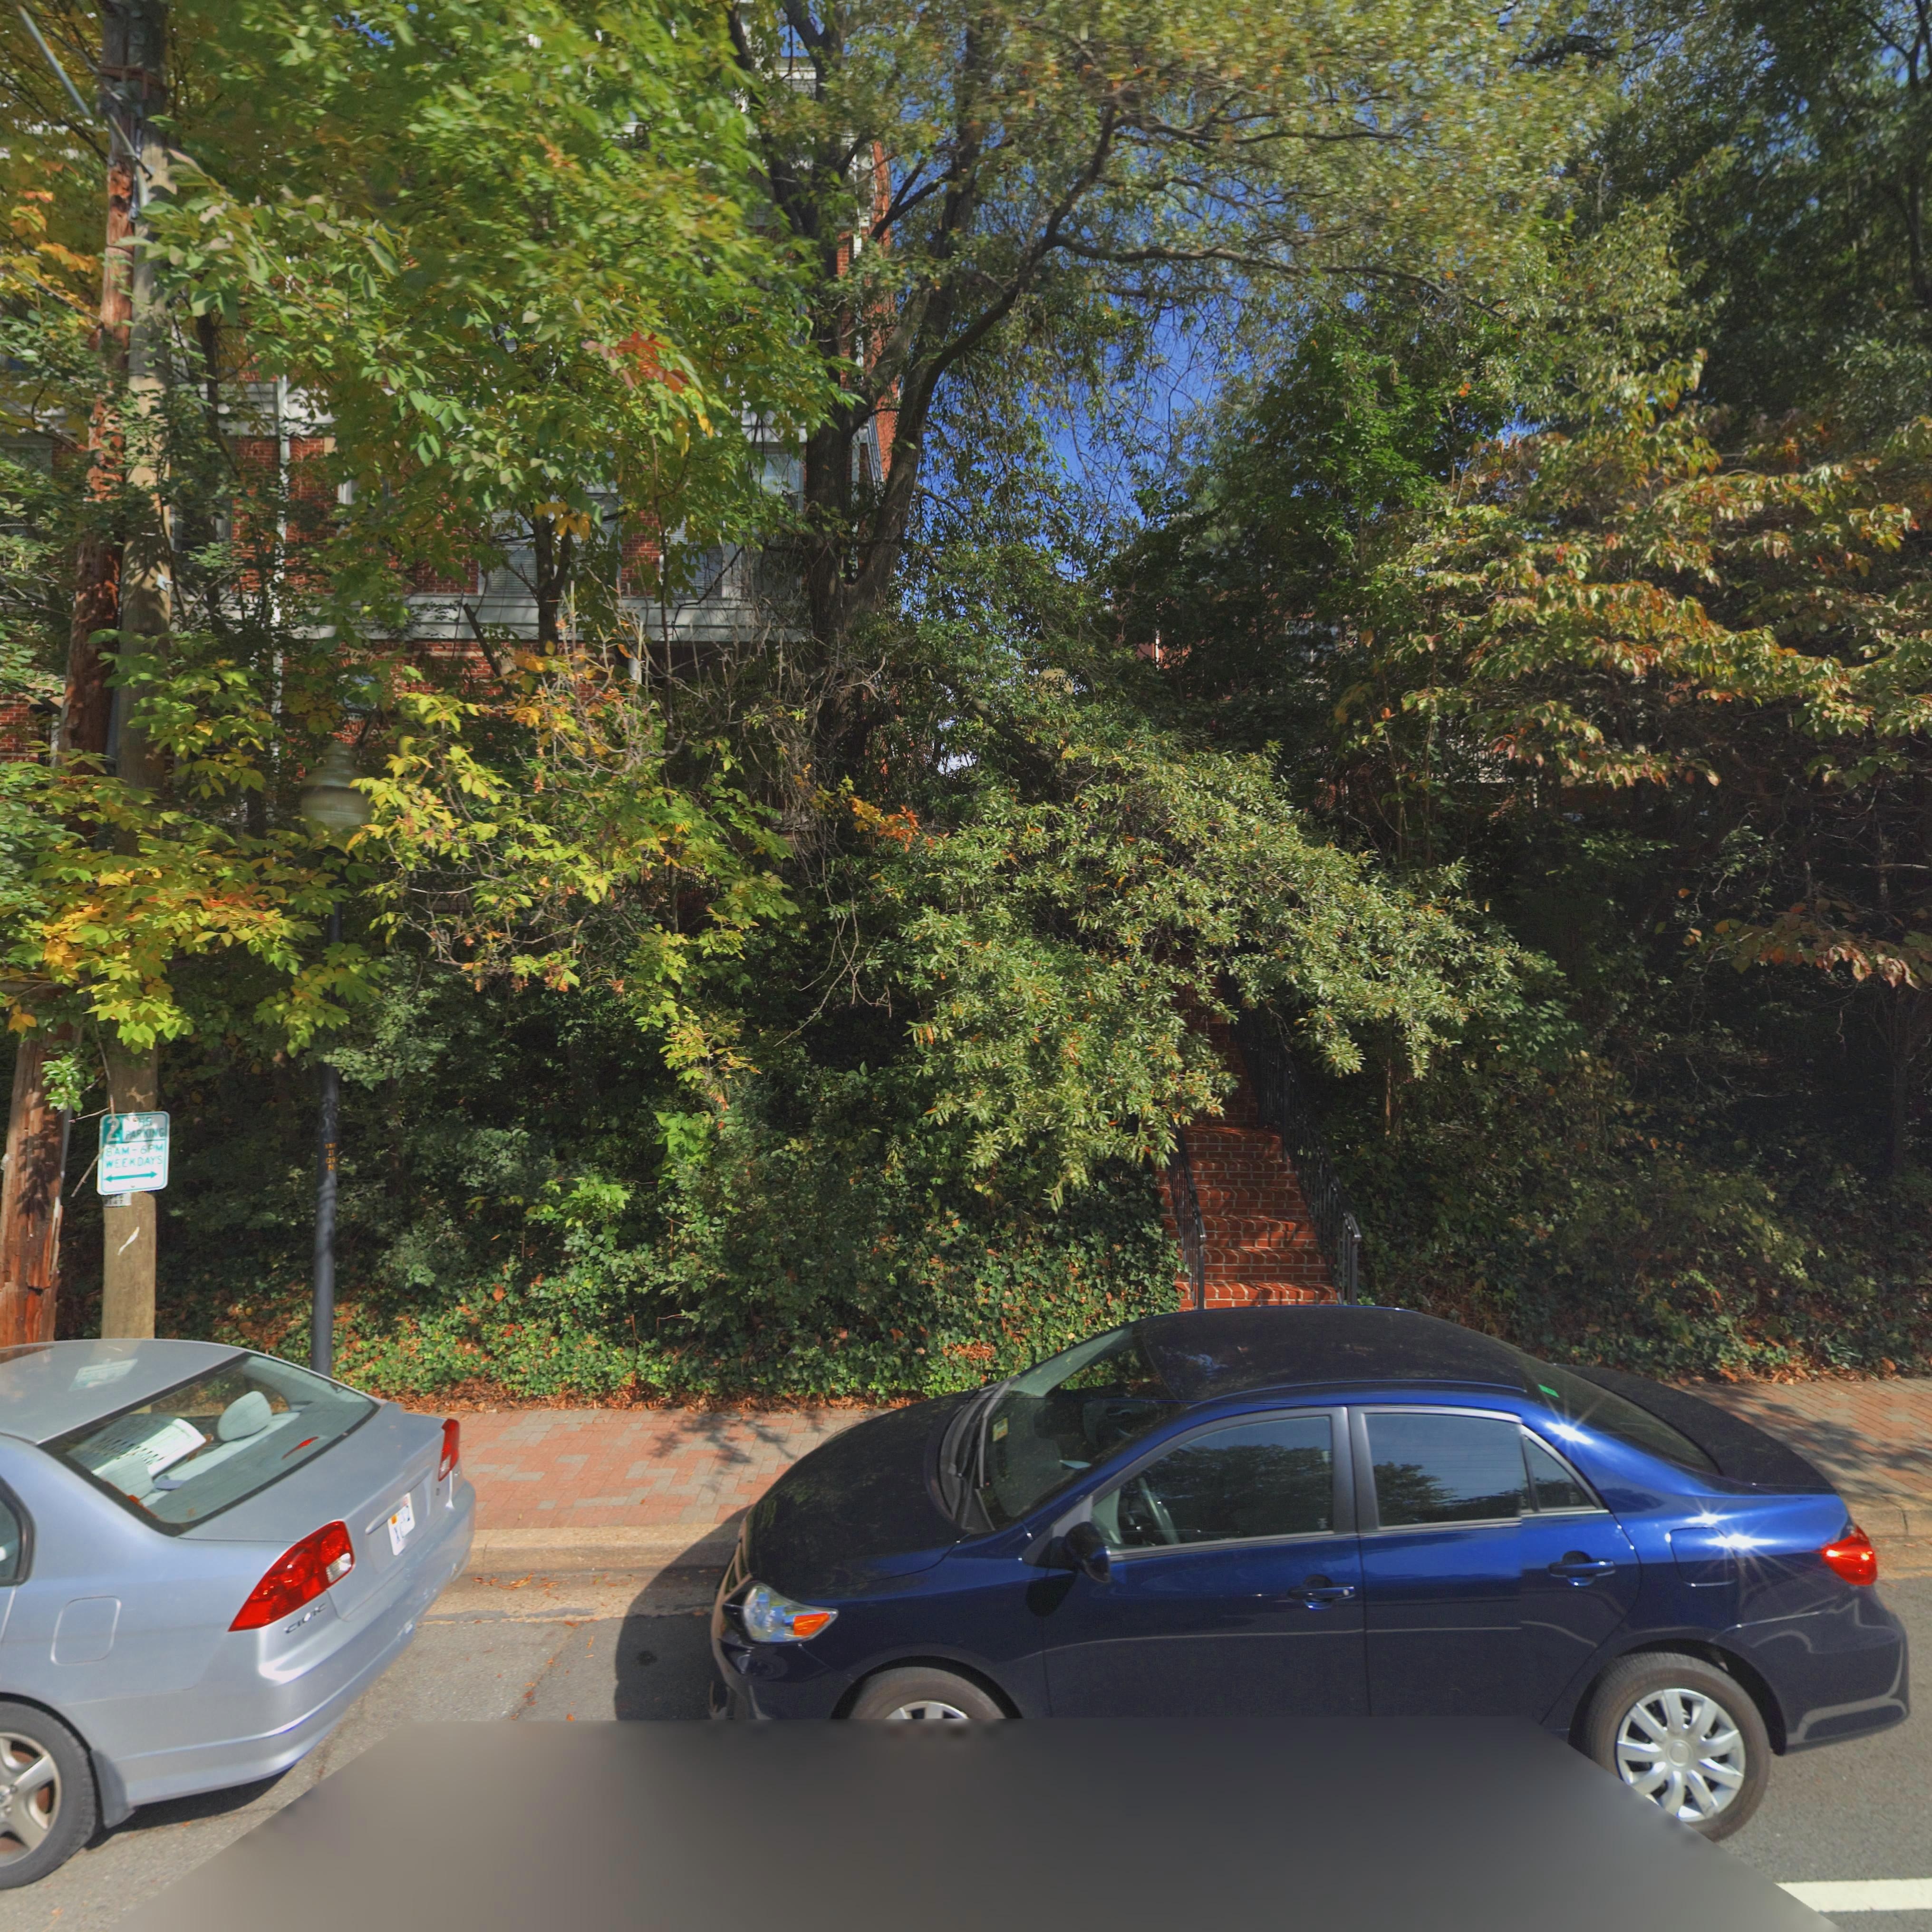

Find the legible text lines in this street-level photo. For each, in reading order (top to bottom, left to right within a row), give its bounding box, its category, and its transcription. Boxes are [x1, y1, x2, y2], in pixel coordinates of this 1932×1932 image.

[137, 1116, 153, 1128] None: H*
[105, 1117, 121, 1143] None: 2
[125, 1127, 165, 1140] None: PARKING
[105, 1143, 164, 1157] None: 8AM-6PM
[327, 1150, 334, 1157] None: 1*
[104, 1154, 163, 1169] None: WEEKDAYS
[325, 1156, 336, 1164] None: 09
[327, 1163, 334, 1171] None: N
[109, 1199, 124, 1205] None: 147
[405, 1505, 411, 1522] None: 2
[393, 1524, 401, 1545] None: X